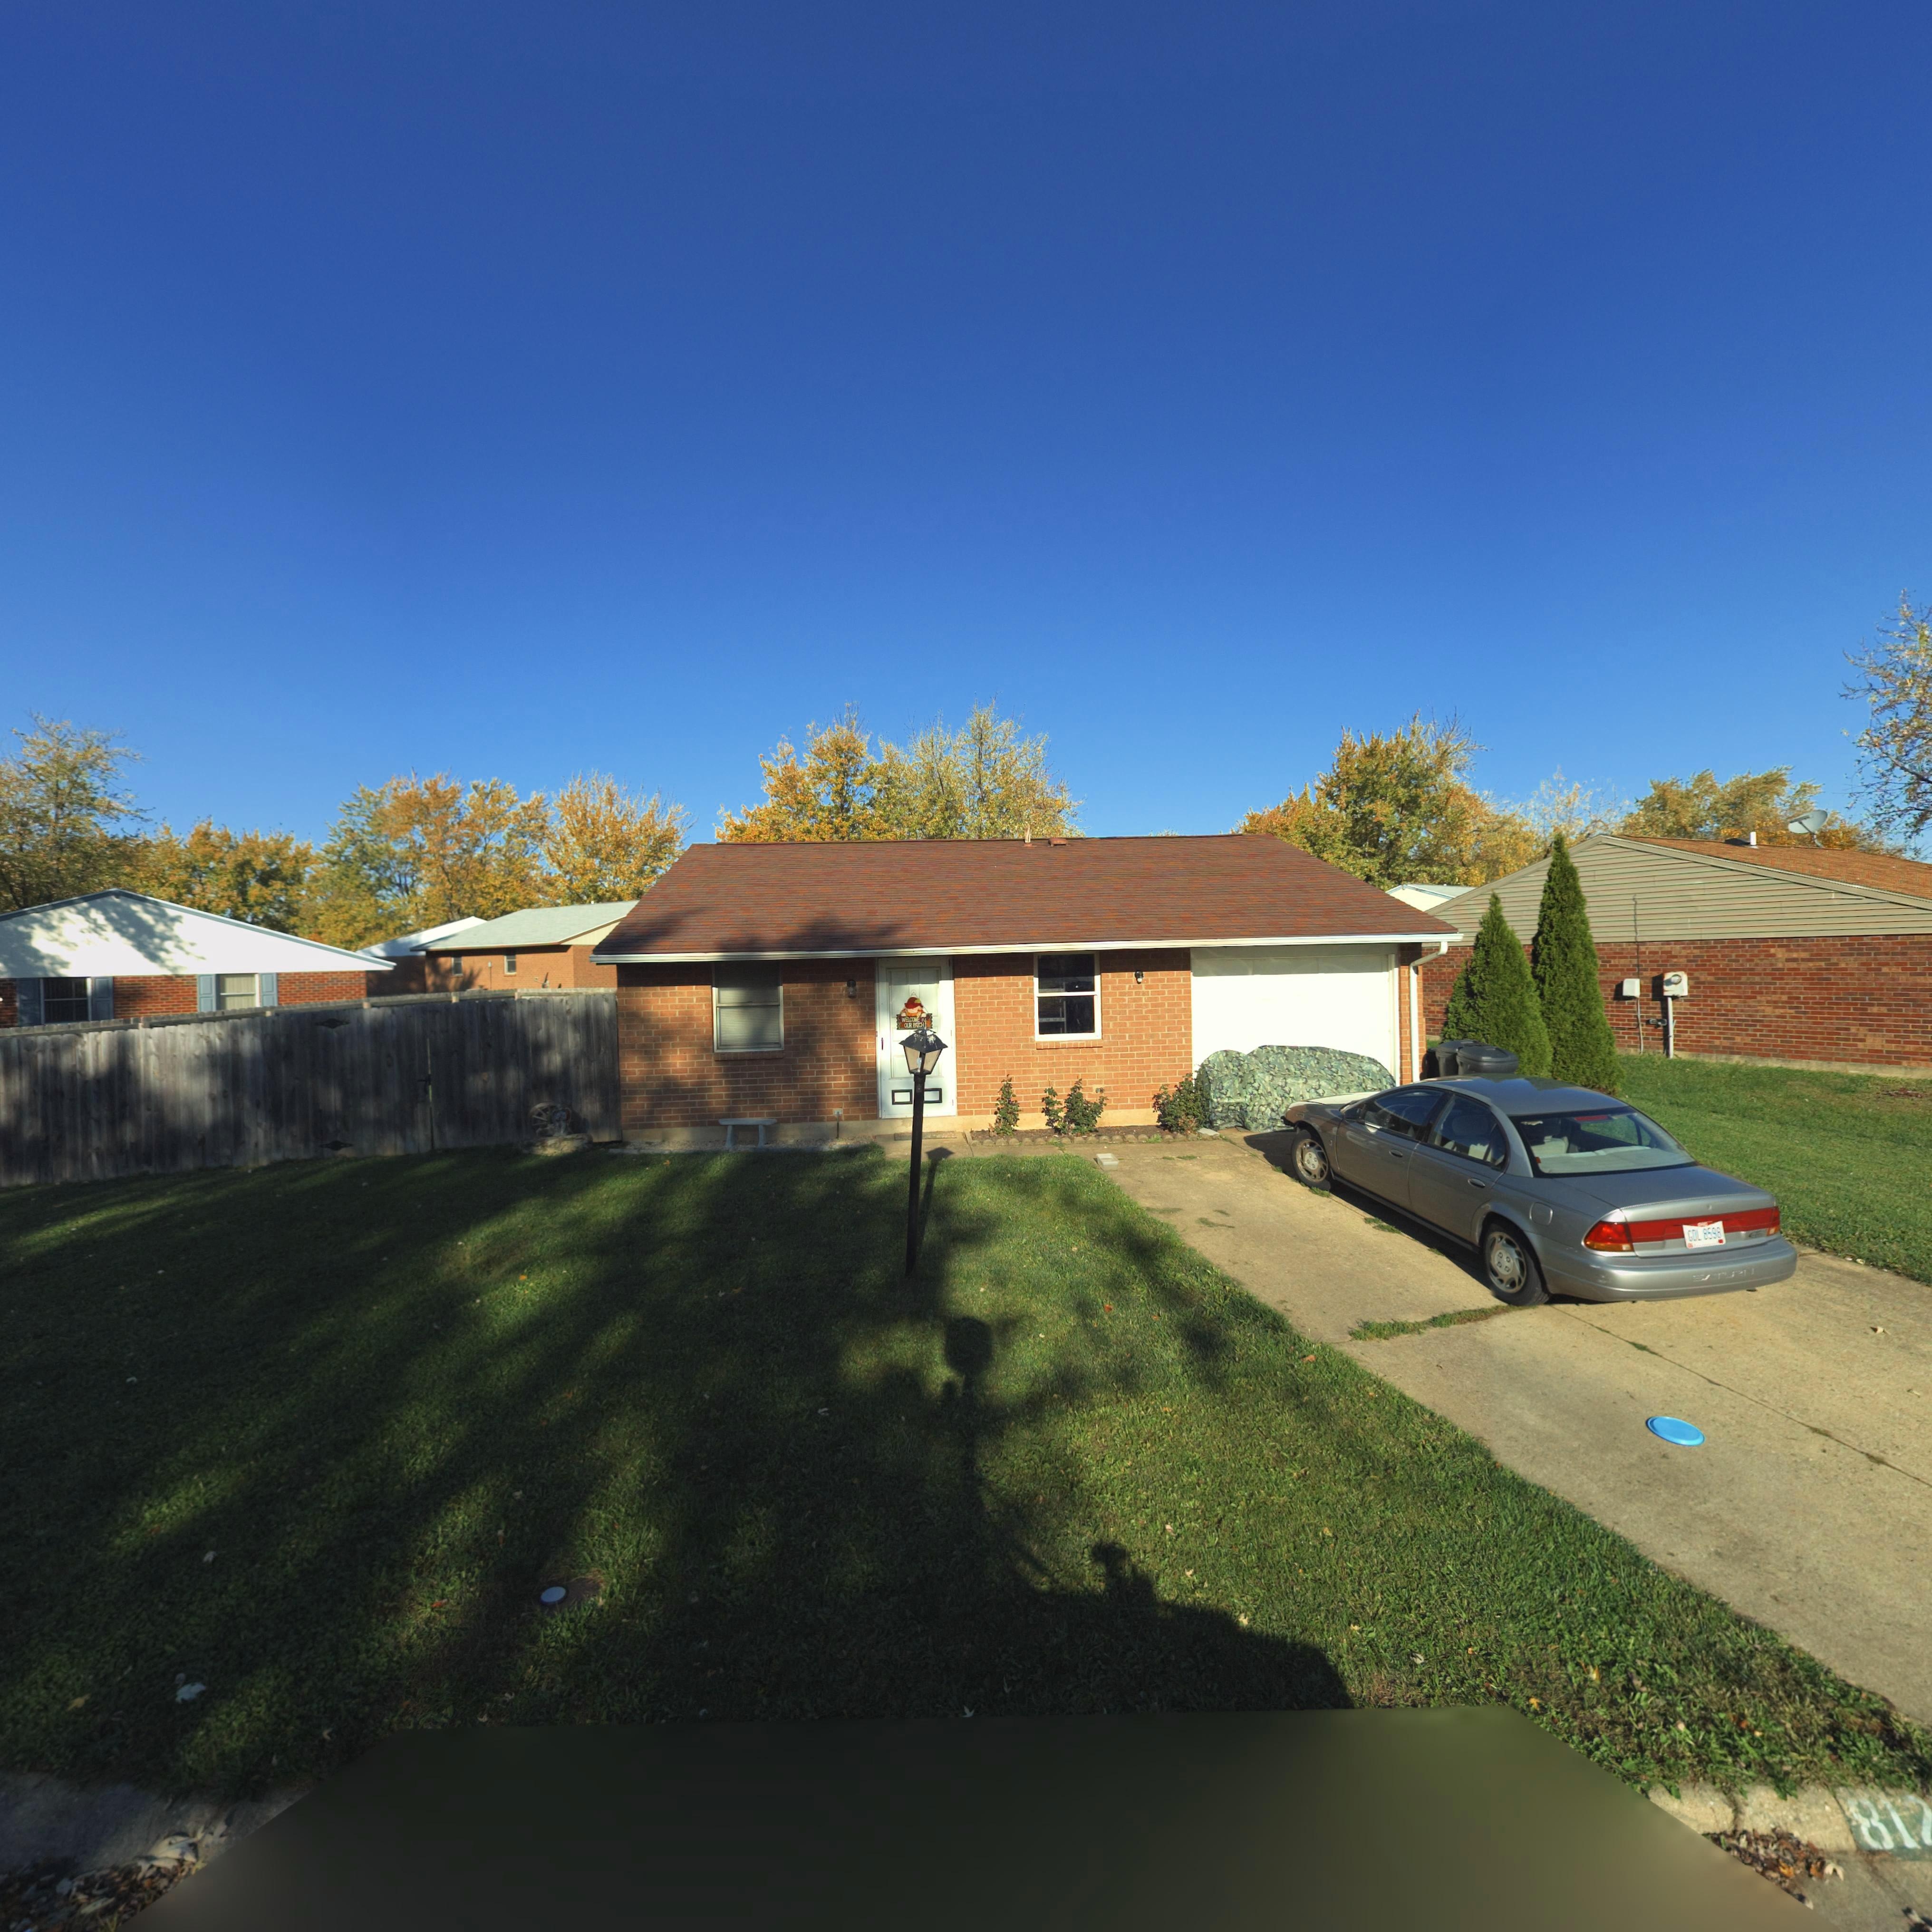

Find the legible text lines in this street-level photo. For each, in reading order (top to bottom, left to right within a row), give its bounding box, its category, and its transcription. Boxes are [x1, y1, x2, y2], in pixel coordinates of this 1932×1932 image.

[1843, 1791, 1924, 1854] StreetNumber: 81